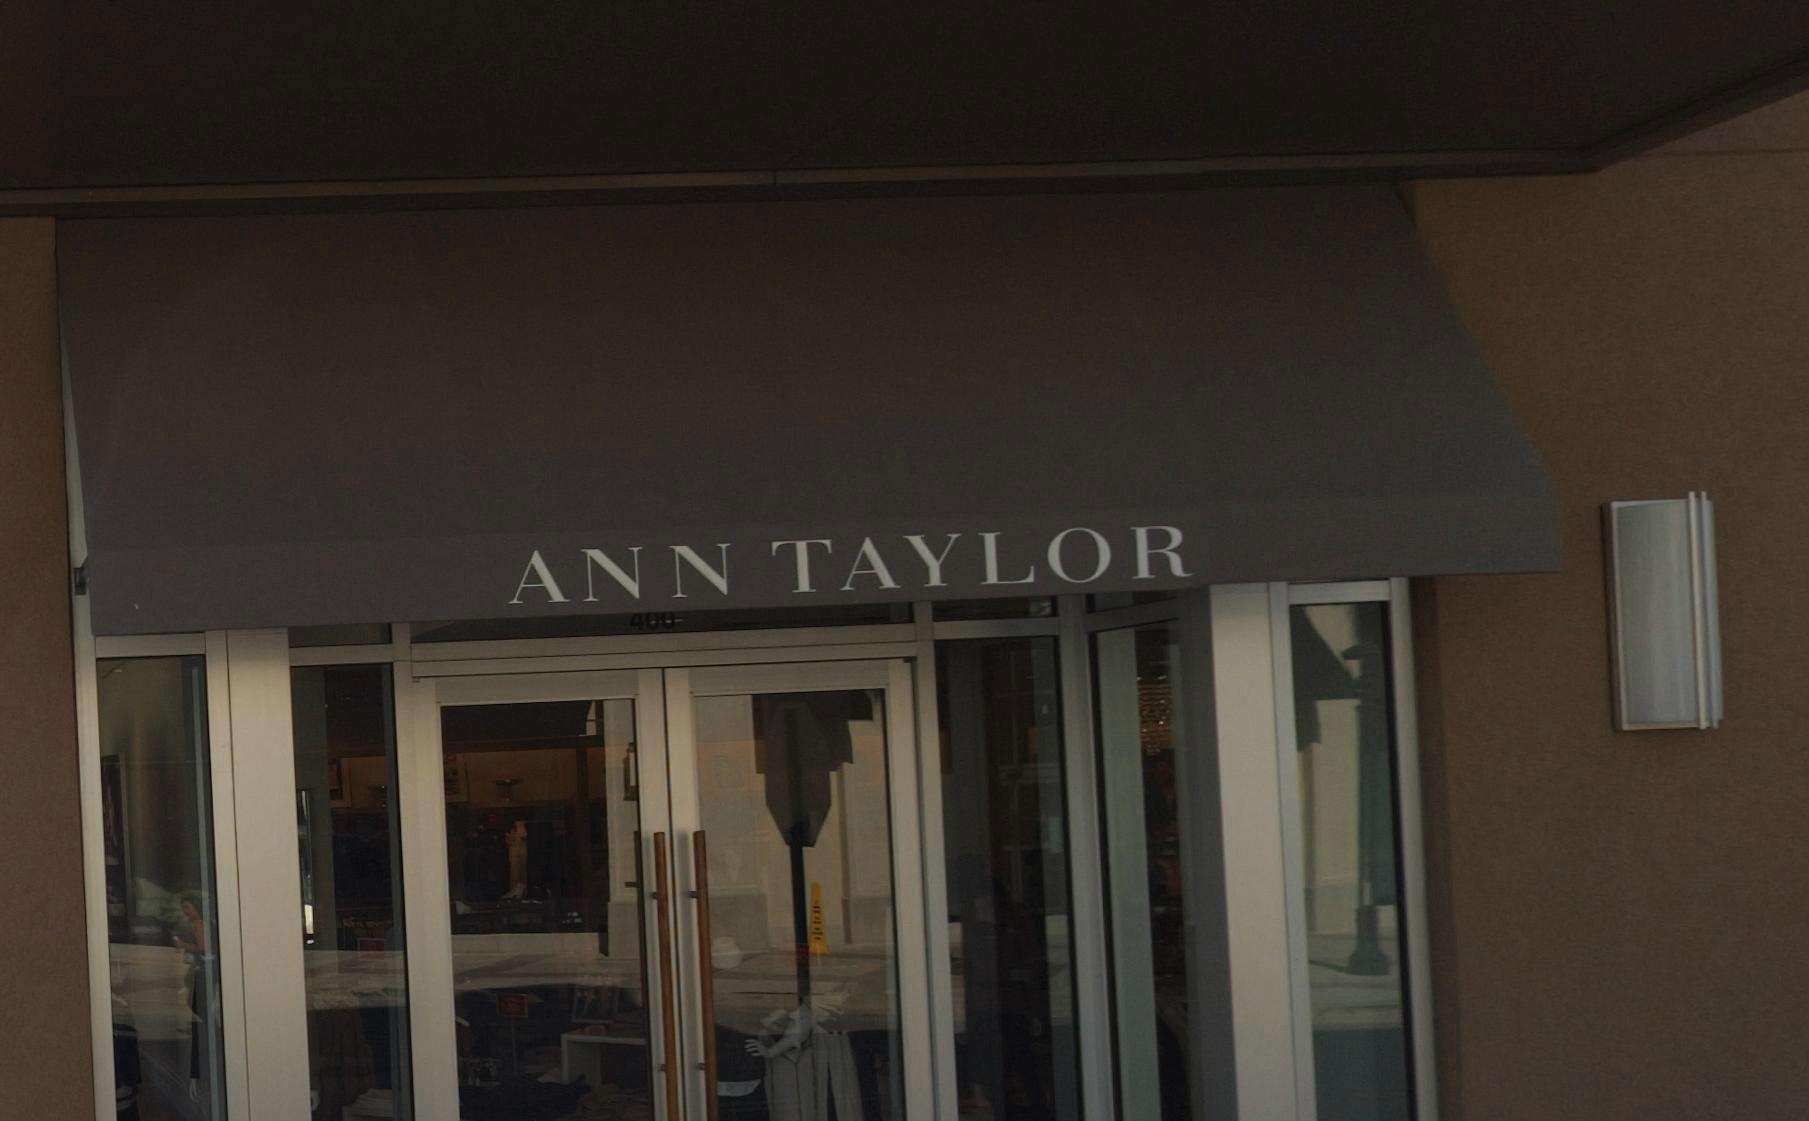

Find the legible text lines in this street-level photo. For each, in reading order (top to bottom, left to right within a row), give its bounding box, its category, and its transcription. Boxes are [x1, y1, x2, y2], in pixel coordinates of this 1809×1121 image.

[503, 520, 1201, 608] BusinessName: ANN TAYLOR